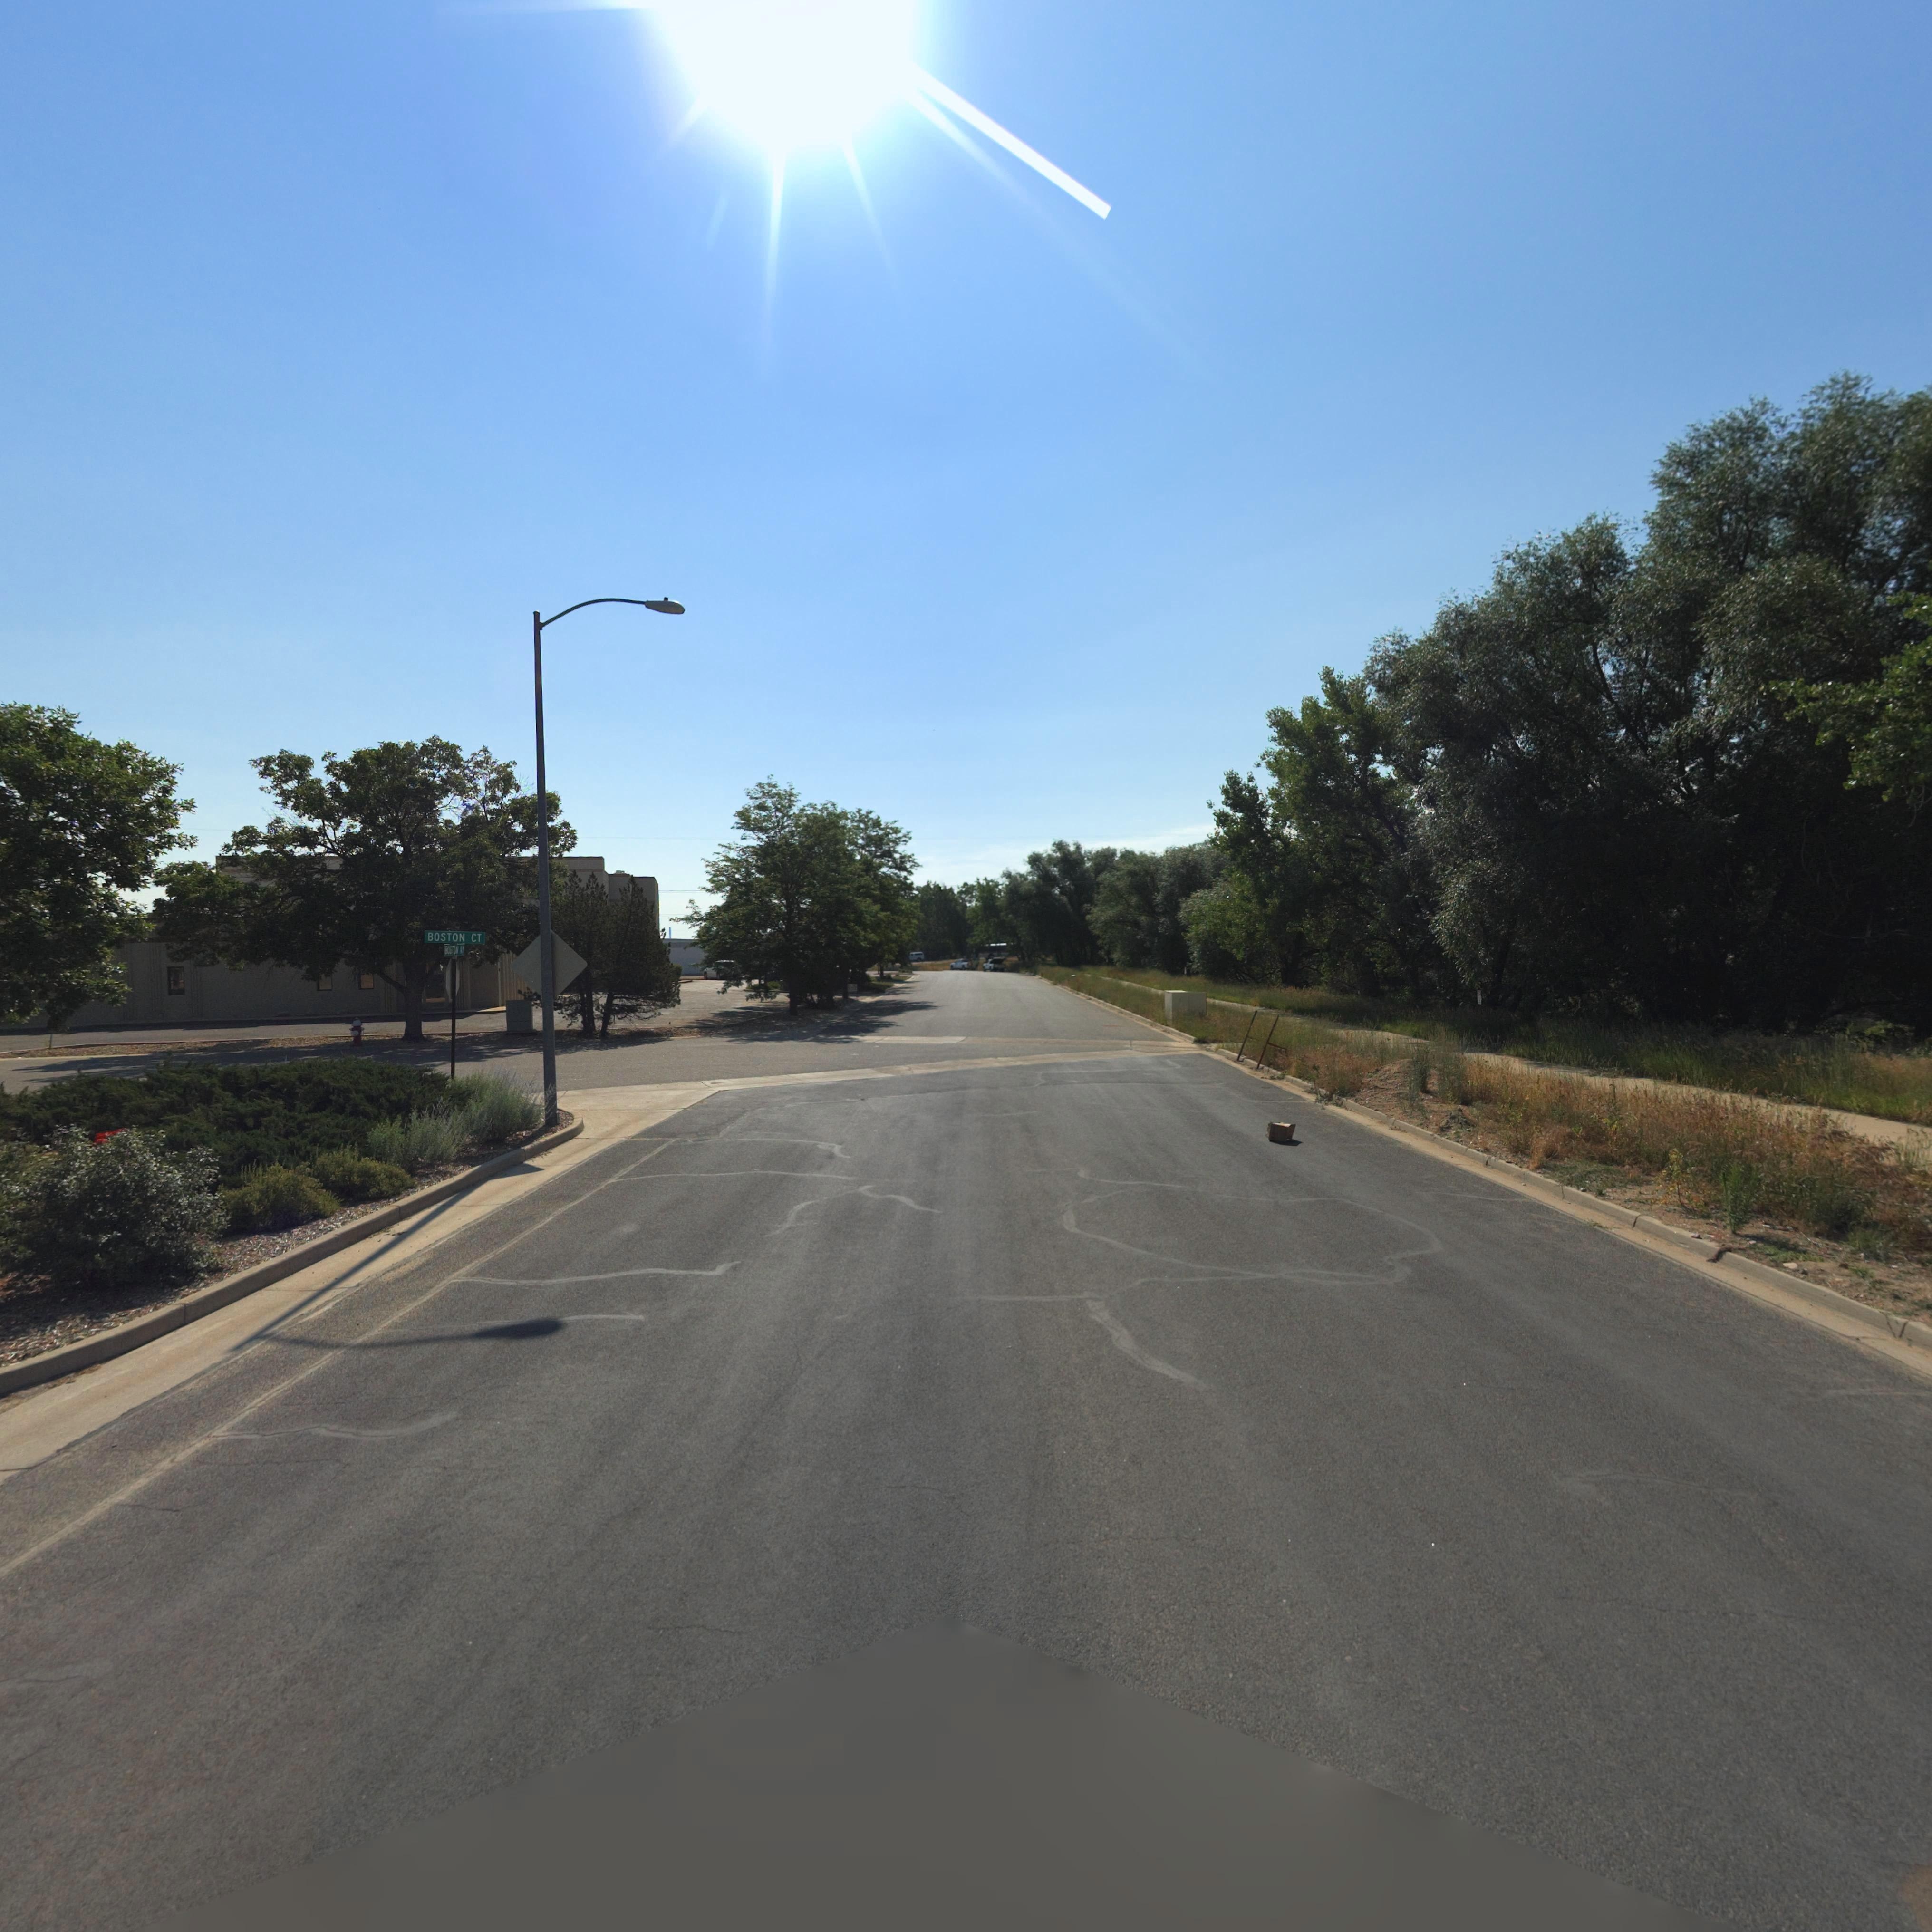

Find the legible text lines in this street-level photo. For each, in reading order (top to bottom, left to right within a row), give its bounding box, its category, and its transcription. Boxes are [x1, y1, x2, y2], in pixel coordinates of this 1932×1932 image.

[427, 932, 482, 943] StreetName: BOSTON CT
[444, 945, 464, 955] StreetName: BOSTON AV